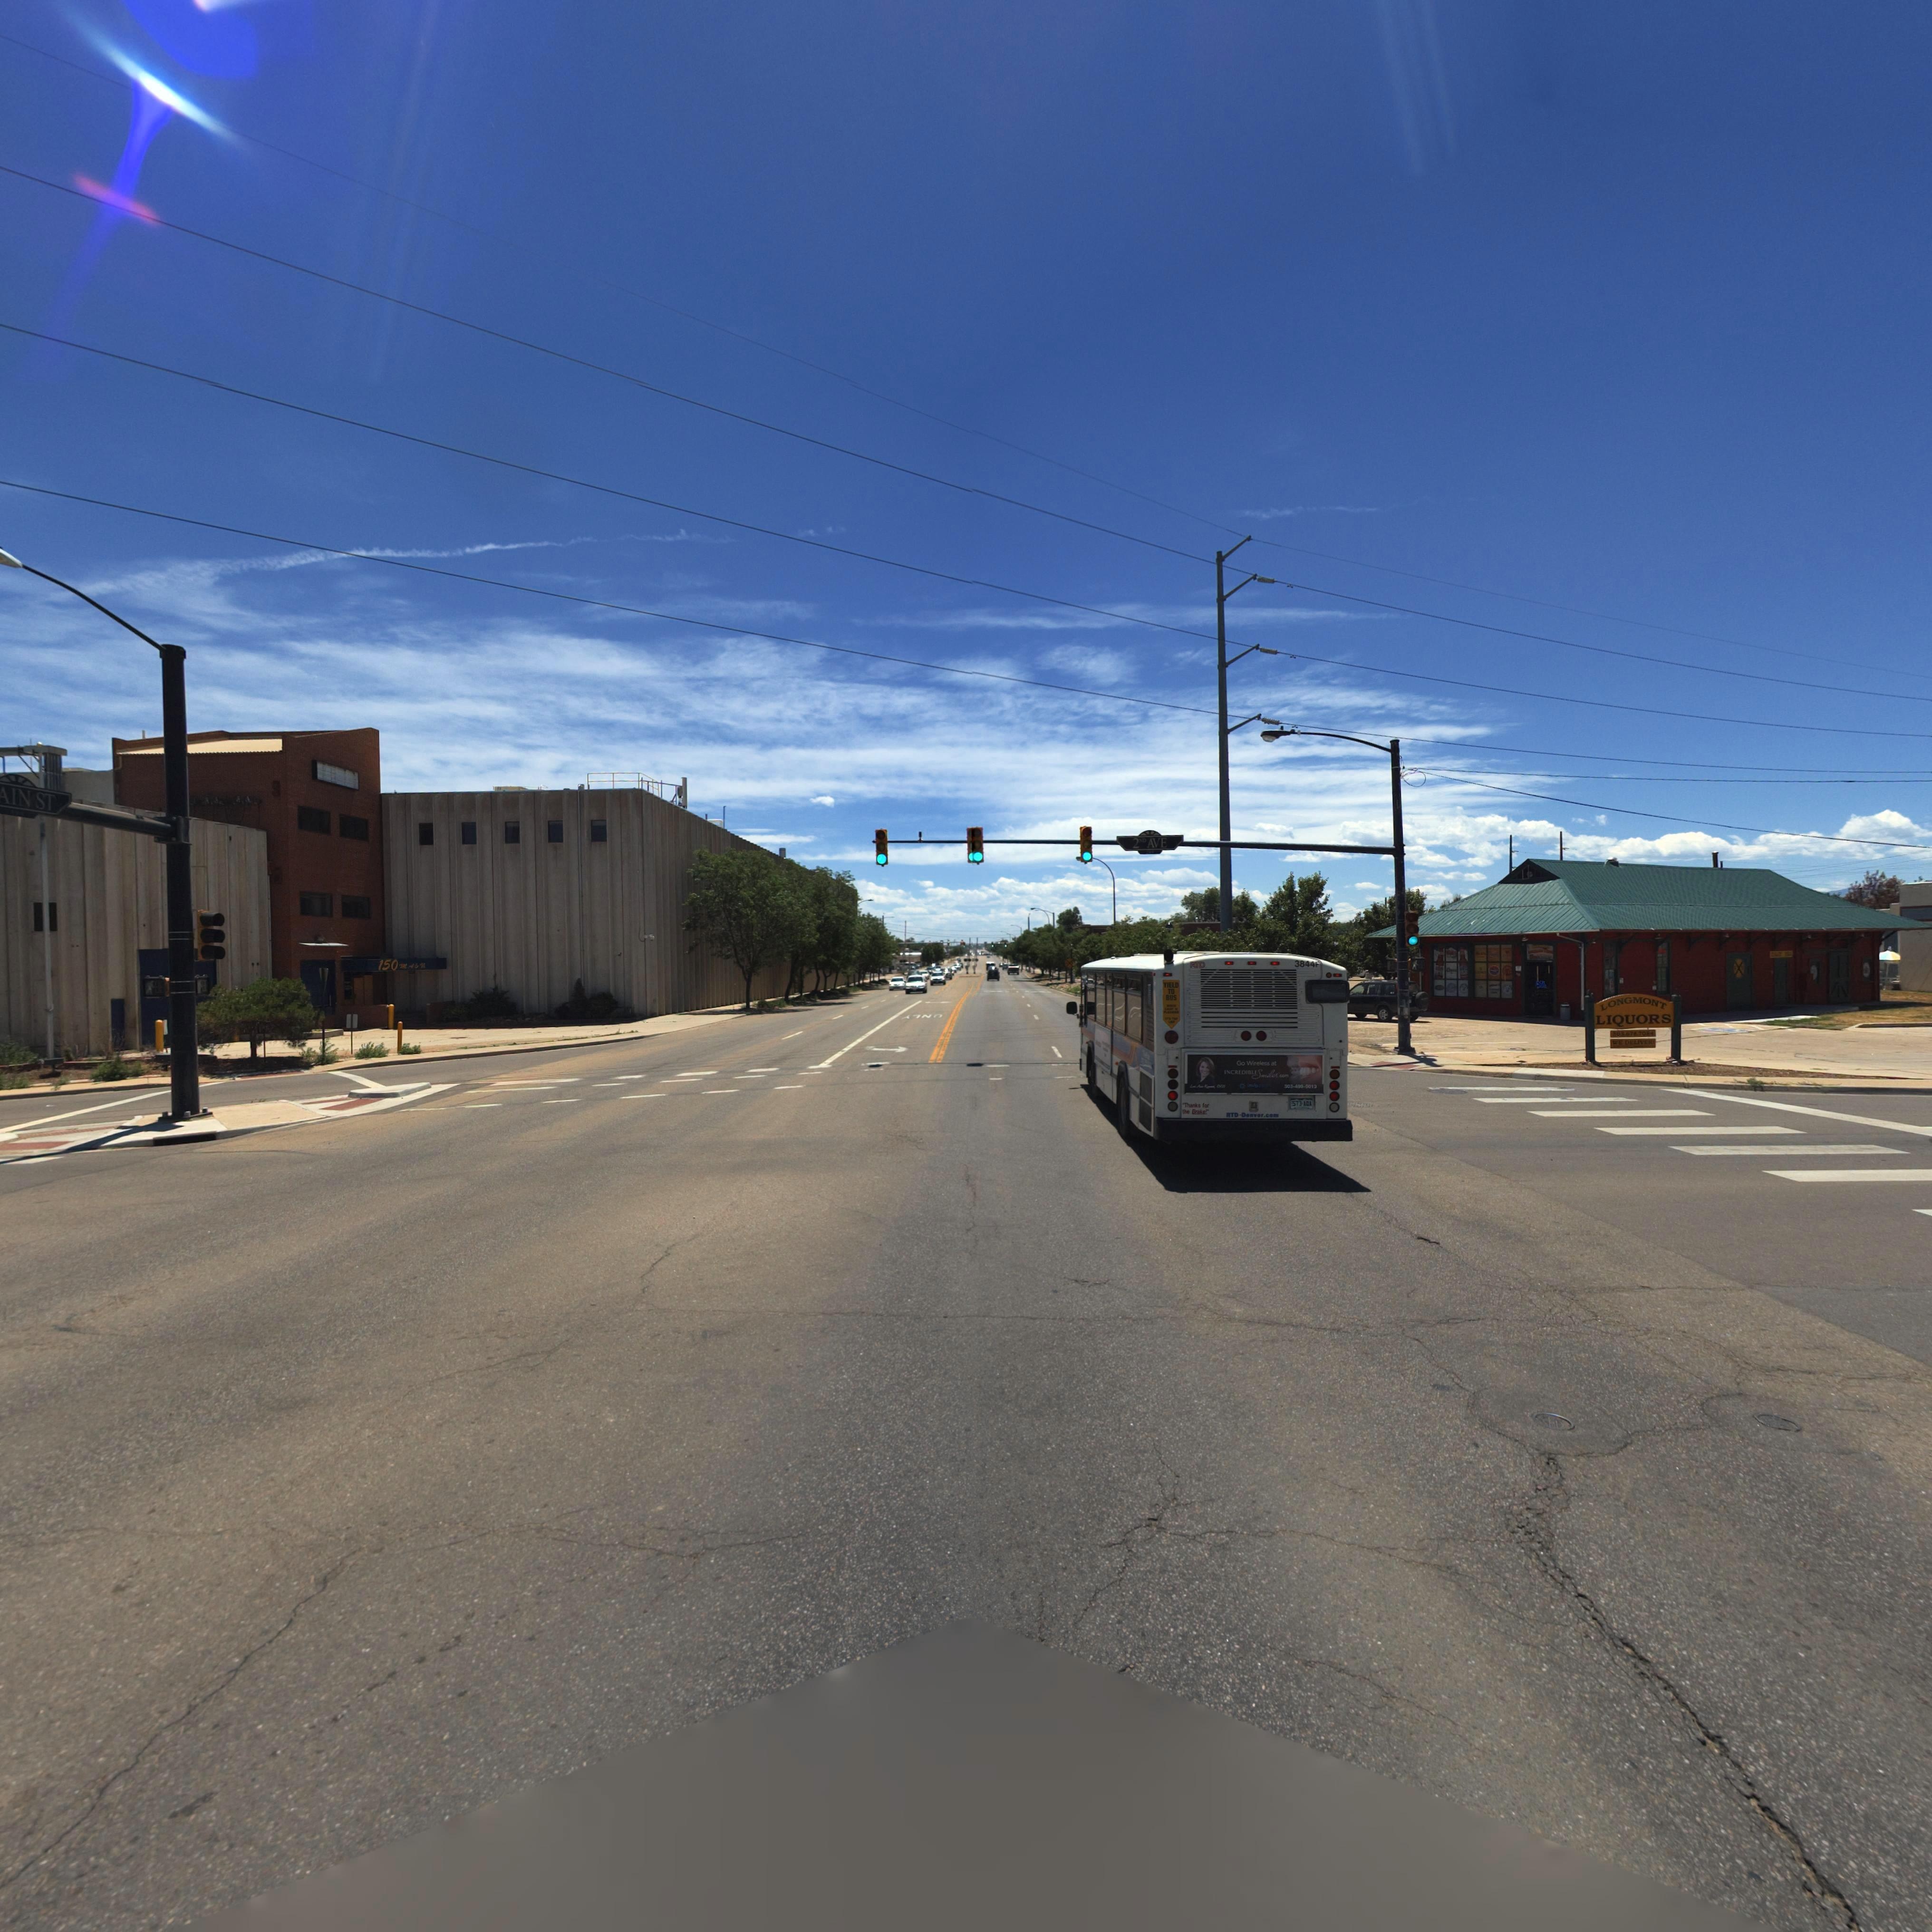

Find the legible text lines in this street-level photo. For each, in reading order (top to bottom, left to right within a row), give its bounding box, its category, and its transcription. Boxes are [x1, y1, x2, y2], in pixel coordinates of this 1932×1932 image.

[10, 786, 57, 811] StreetName: IN ST
[1131, 837, 1167, 849] StreetName: 2ND AVE
[376, 958, 399, 971] StreetNumber: 150
[1599, 994, 1669, 1012] BusinessName: LONGMONT
[1594, 1013, 1672, 1028] BusinessName: LIQUORS